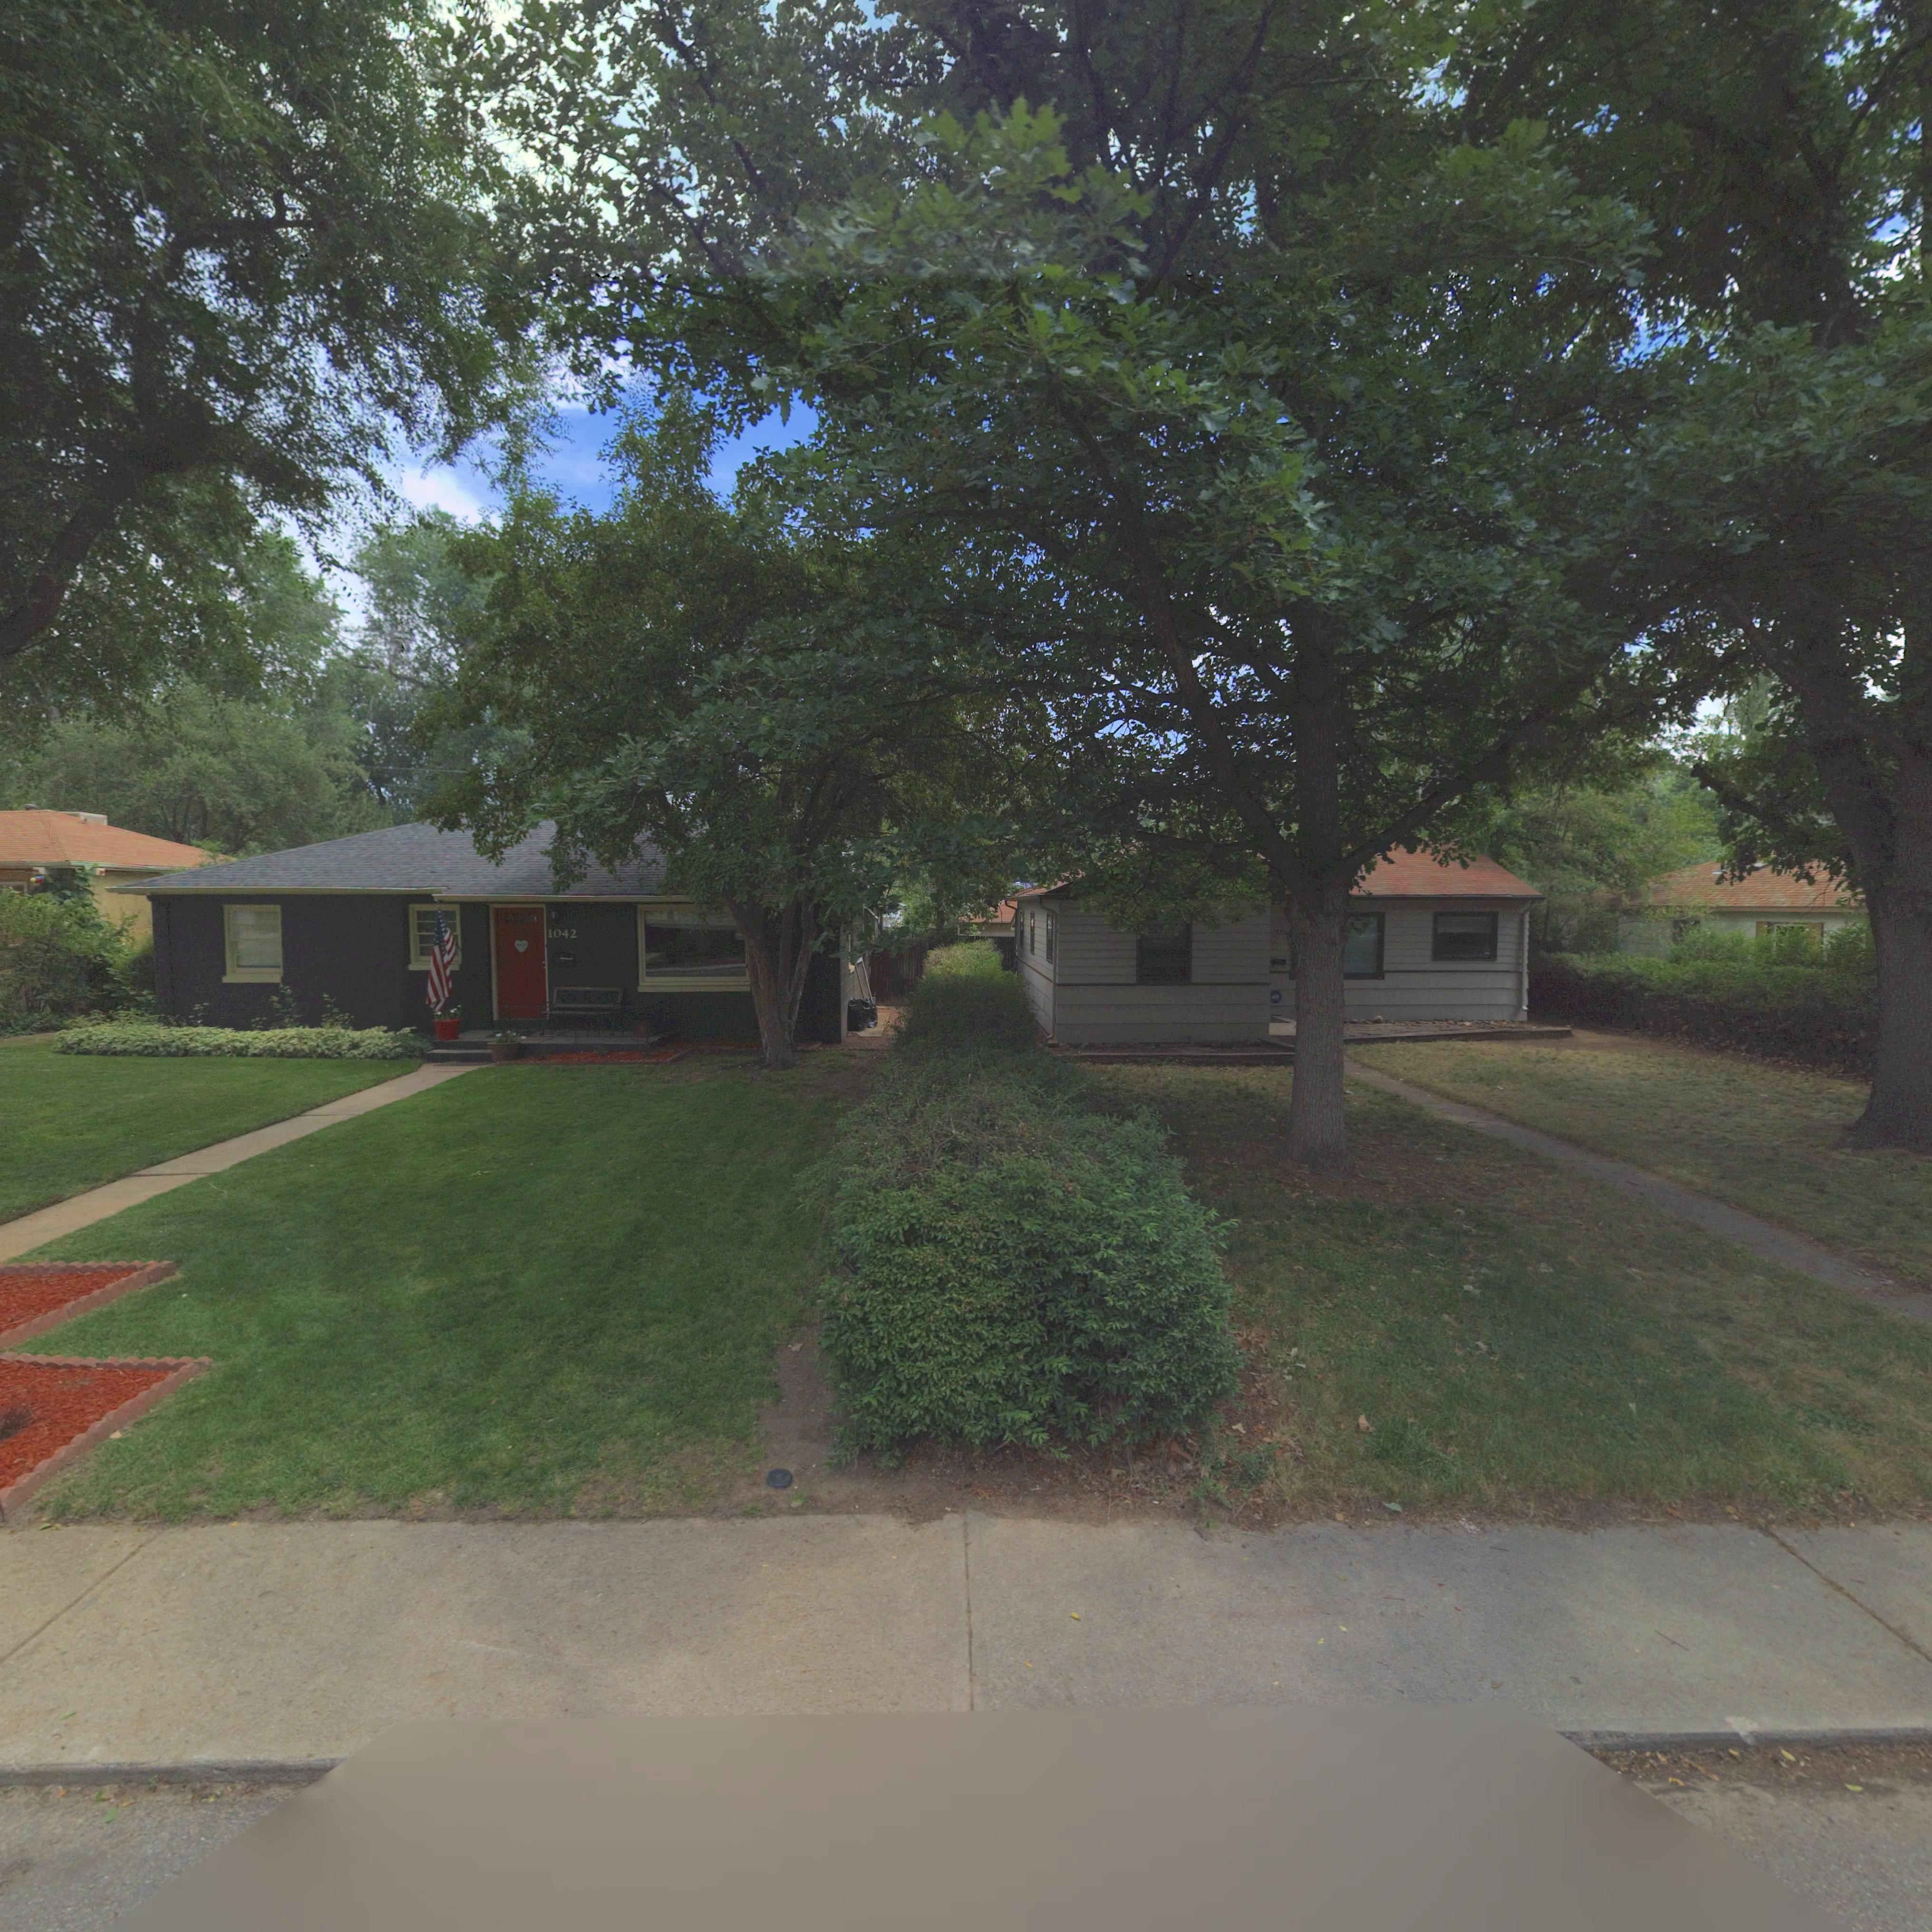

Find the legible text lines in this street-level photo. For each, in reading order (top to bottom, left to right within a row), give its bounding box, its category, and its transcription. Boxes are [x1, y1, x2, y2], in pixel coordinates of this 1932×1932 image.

[547, 928, 578, 938] StreetNumber: 1042
[1271, 928, 1288, 935] StreetNumber: 1036